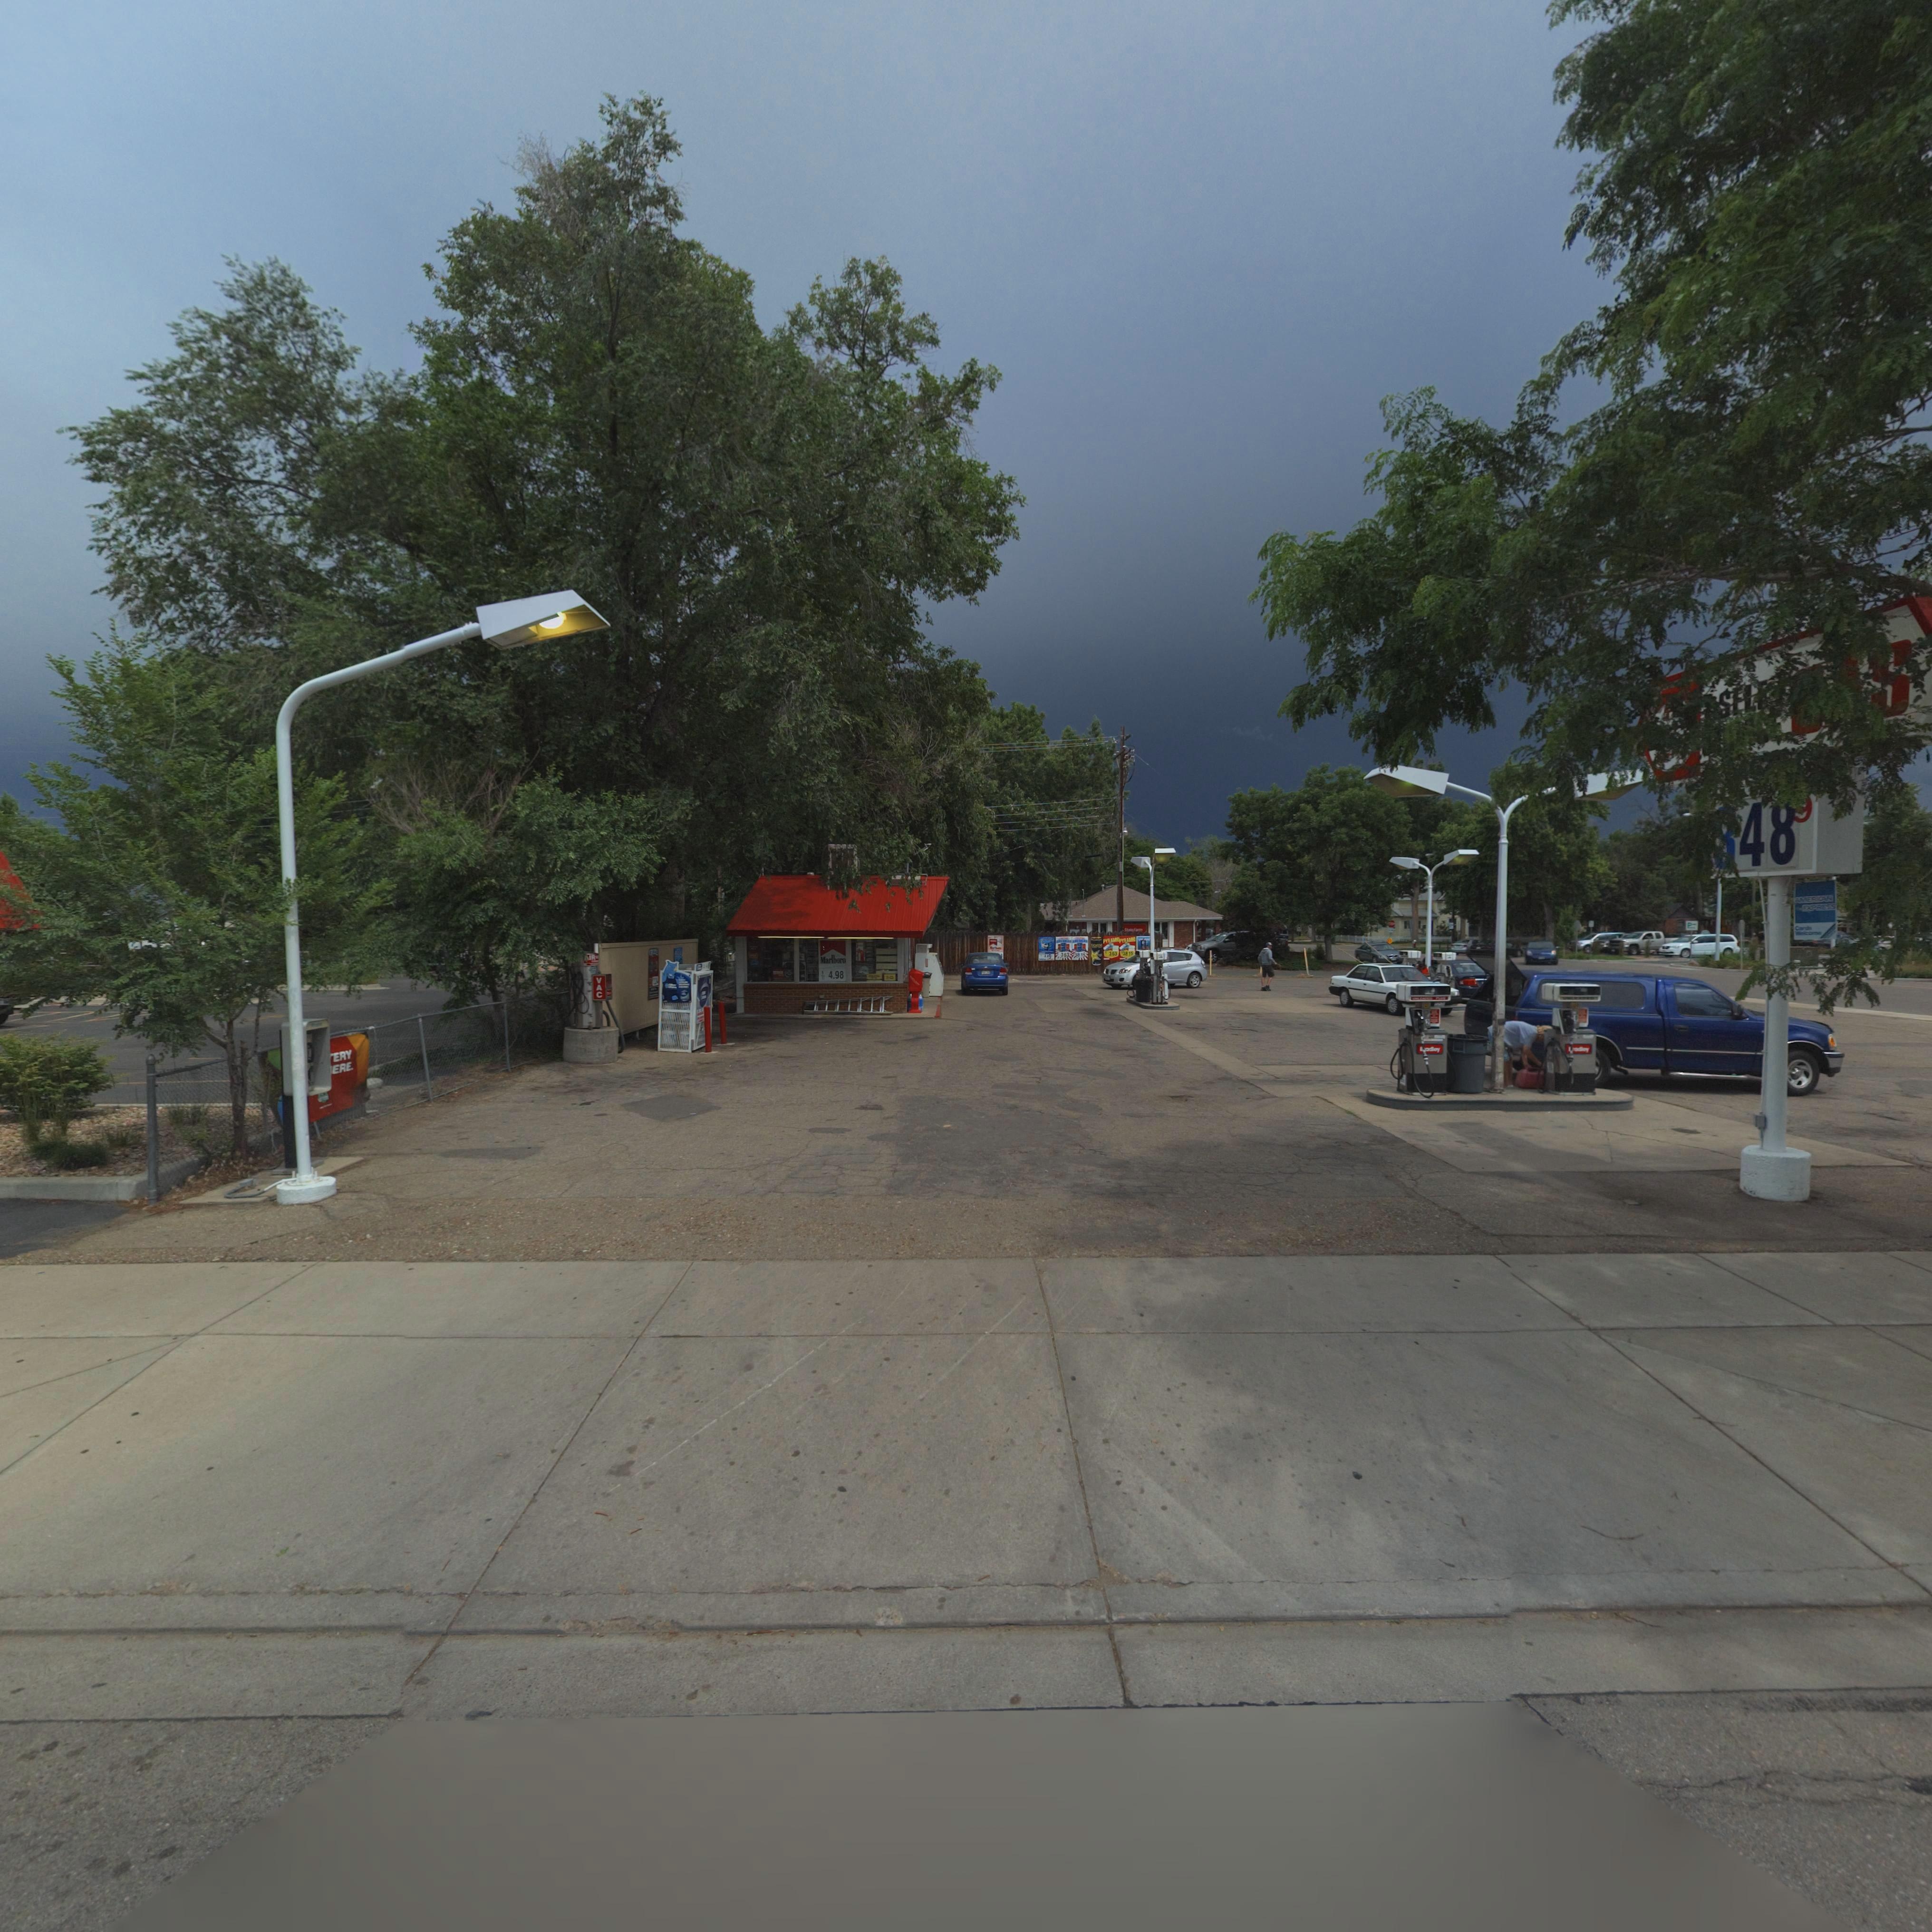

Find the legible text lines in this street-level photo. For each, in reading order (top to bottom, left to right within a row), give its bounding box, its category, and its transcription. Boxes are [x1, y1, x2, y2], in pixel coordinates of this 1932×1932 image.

[1124, 927, 1143, 932] BusinessName: St***F**m